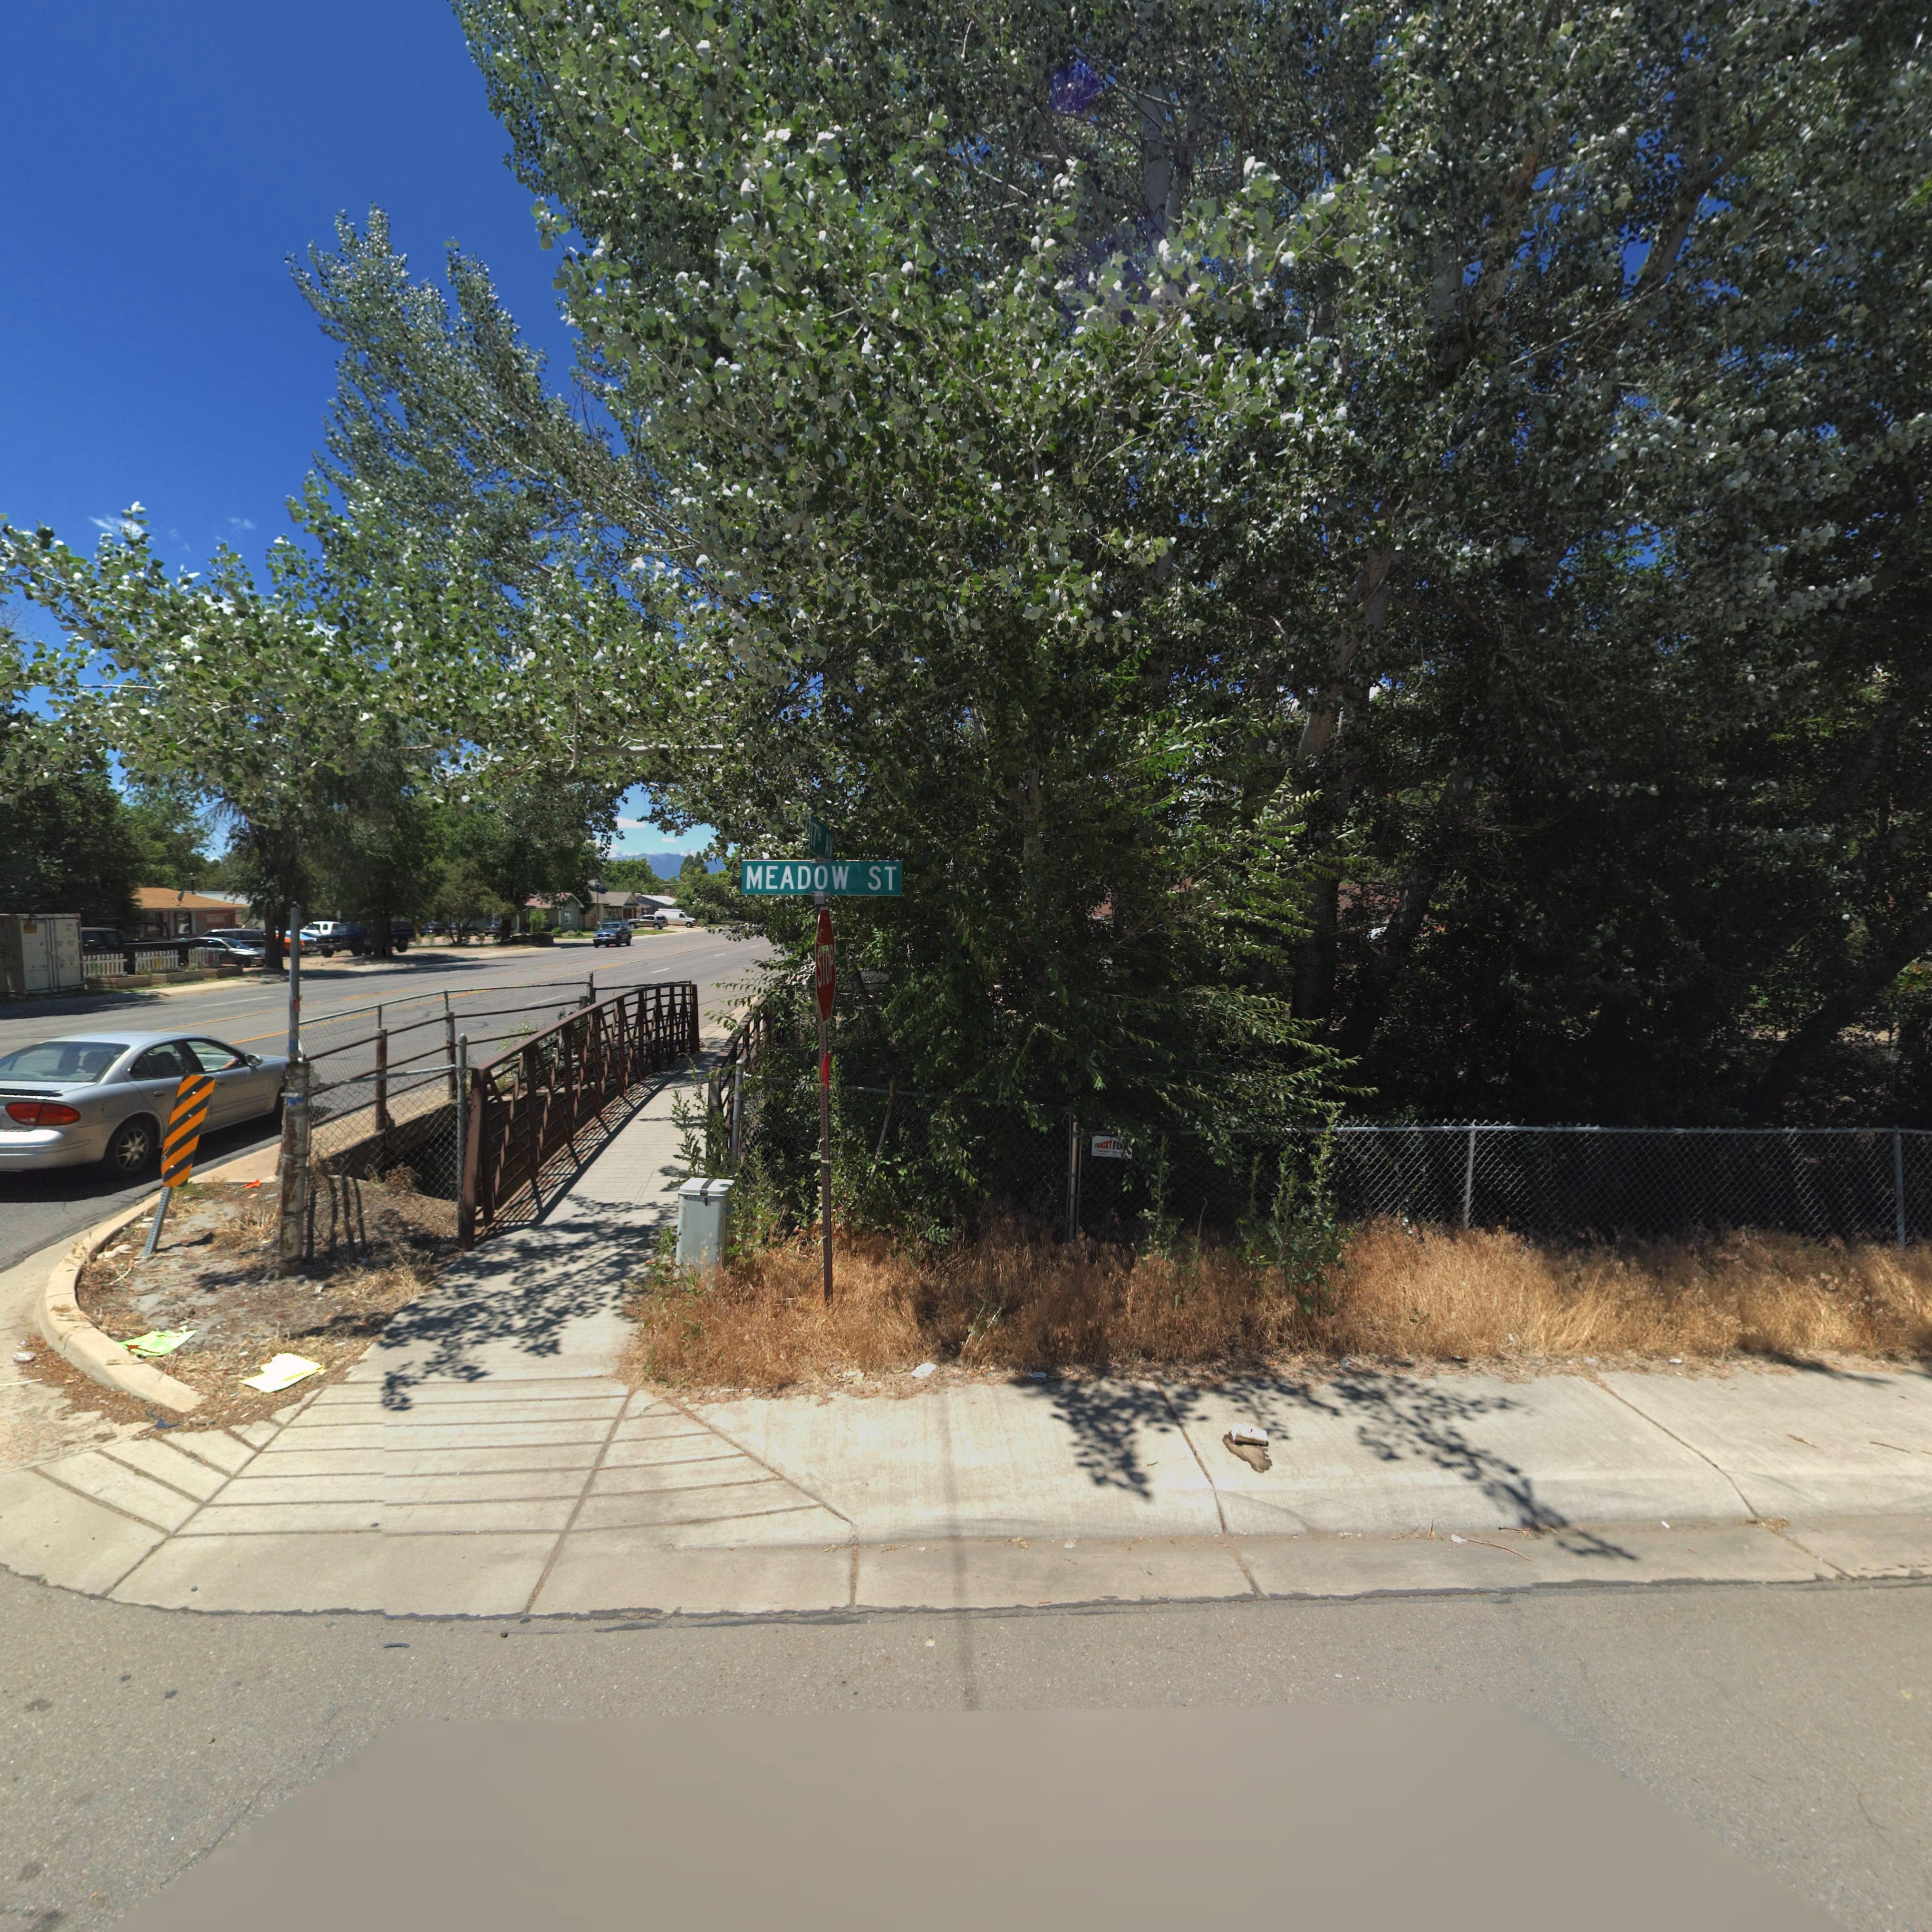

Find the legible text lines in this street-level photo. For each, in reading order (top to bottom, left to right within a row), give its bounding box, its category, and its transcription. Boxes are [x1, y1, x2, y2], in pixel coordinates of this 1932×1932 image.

[810, 820, 833, 860] StreetName: 17TH AV
[745, 864, 897, 891] StreetName: MEADOW ST